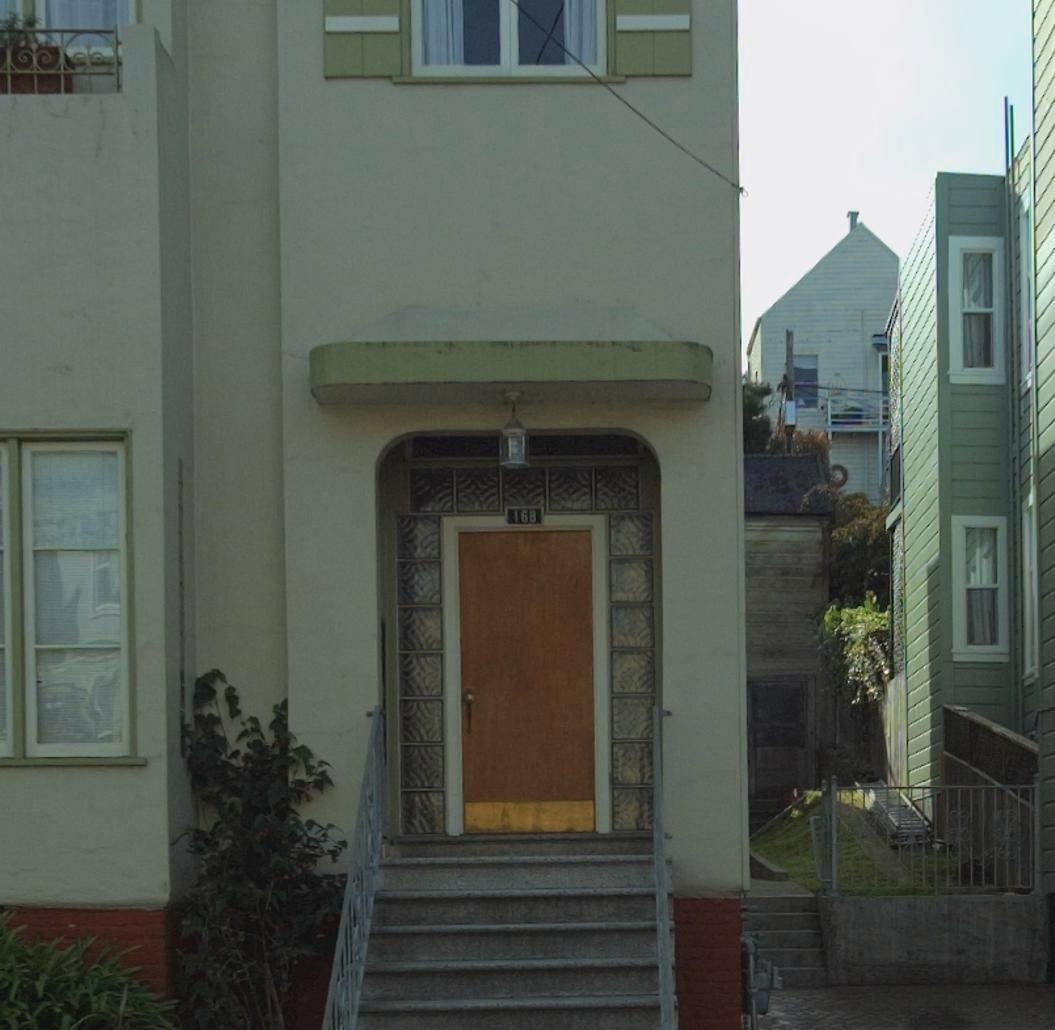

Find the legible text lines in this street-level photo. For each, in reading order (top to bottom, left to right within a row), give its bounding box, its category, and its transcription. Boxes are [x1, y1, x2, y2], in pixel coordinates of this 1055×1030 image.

[513, 510, 537, 523] StreetNumber: 168